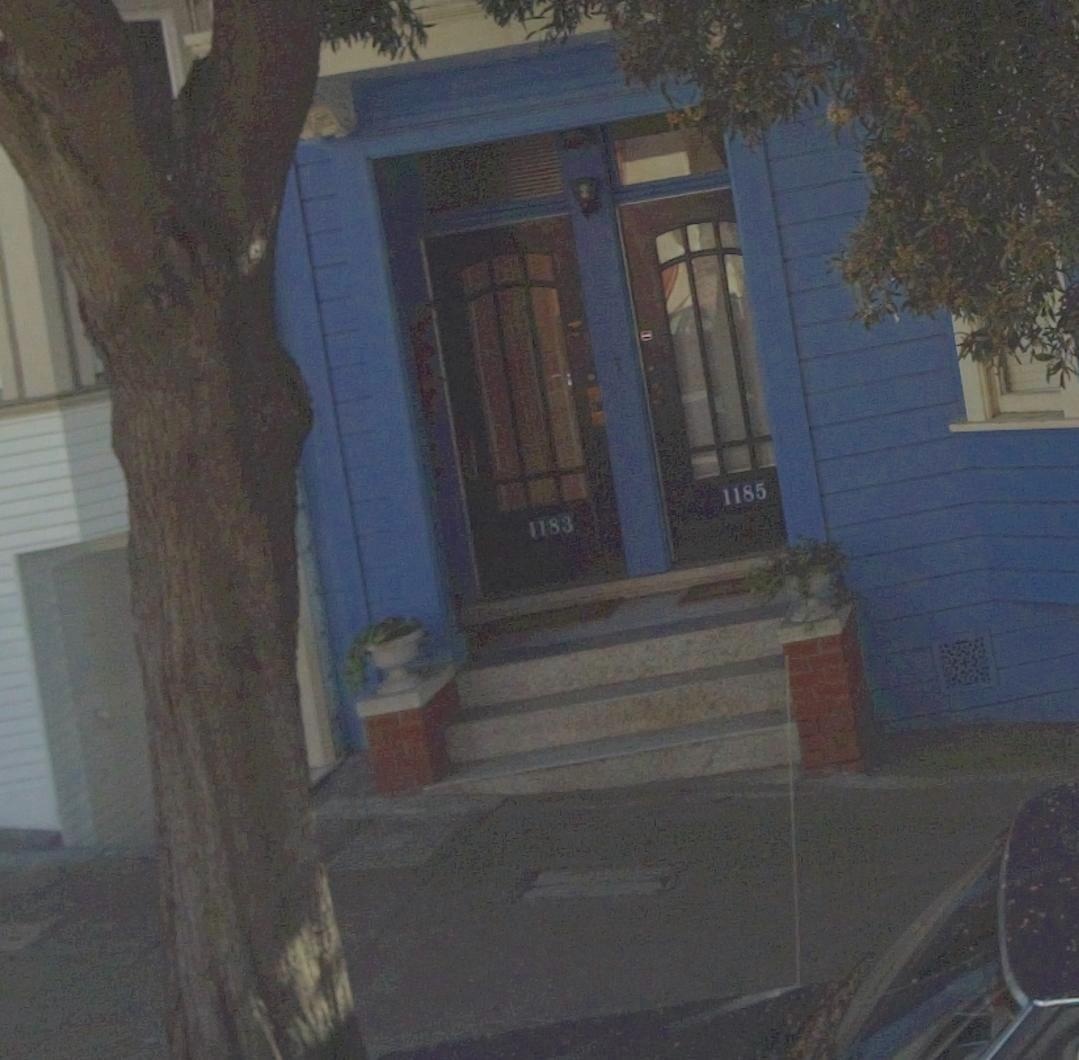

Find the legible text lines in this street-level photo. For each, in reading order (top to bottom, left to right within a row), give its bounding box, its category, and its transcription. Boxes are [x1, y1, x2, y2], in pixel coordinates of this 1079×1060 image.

[719, 480, 768, 507] StreetNumber: 1185
[528, 513, 576, 540] StreetNumber: 1183